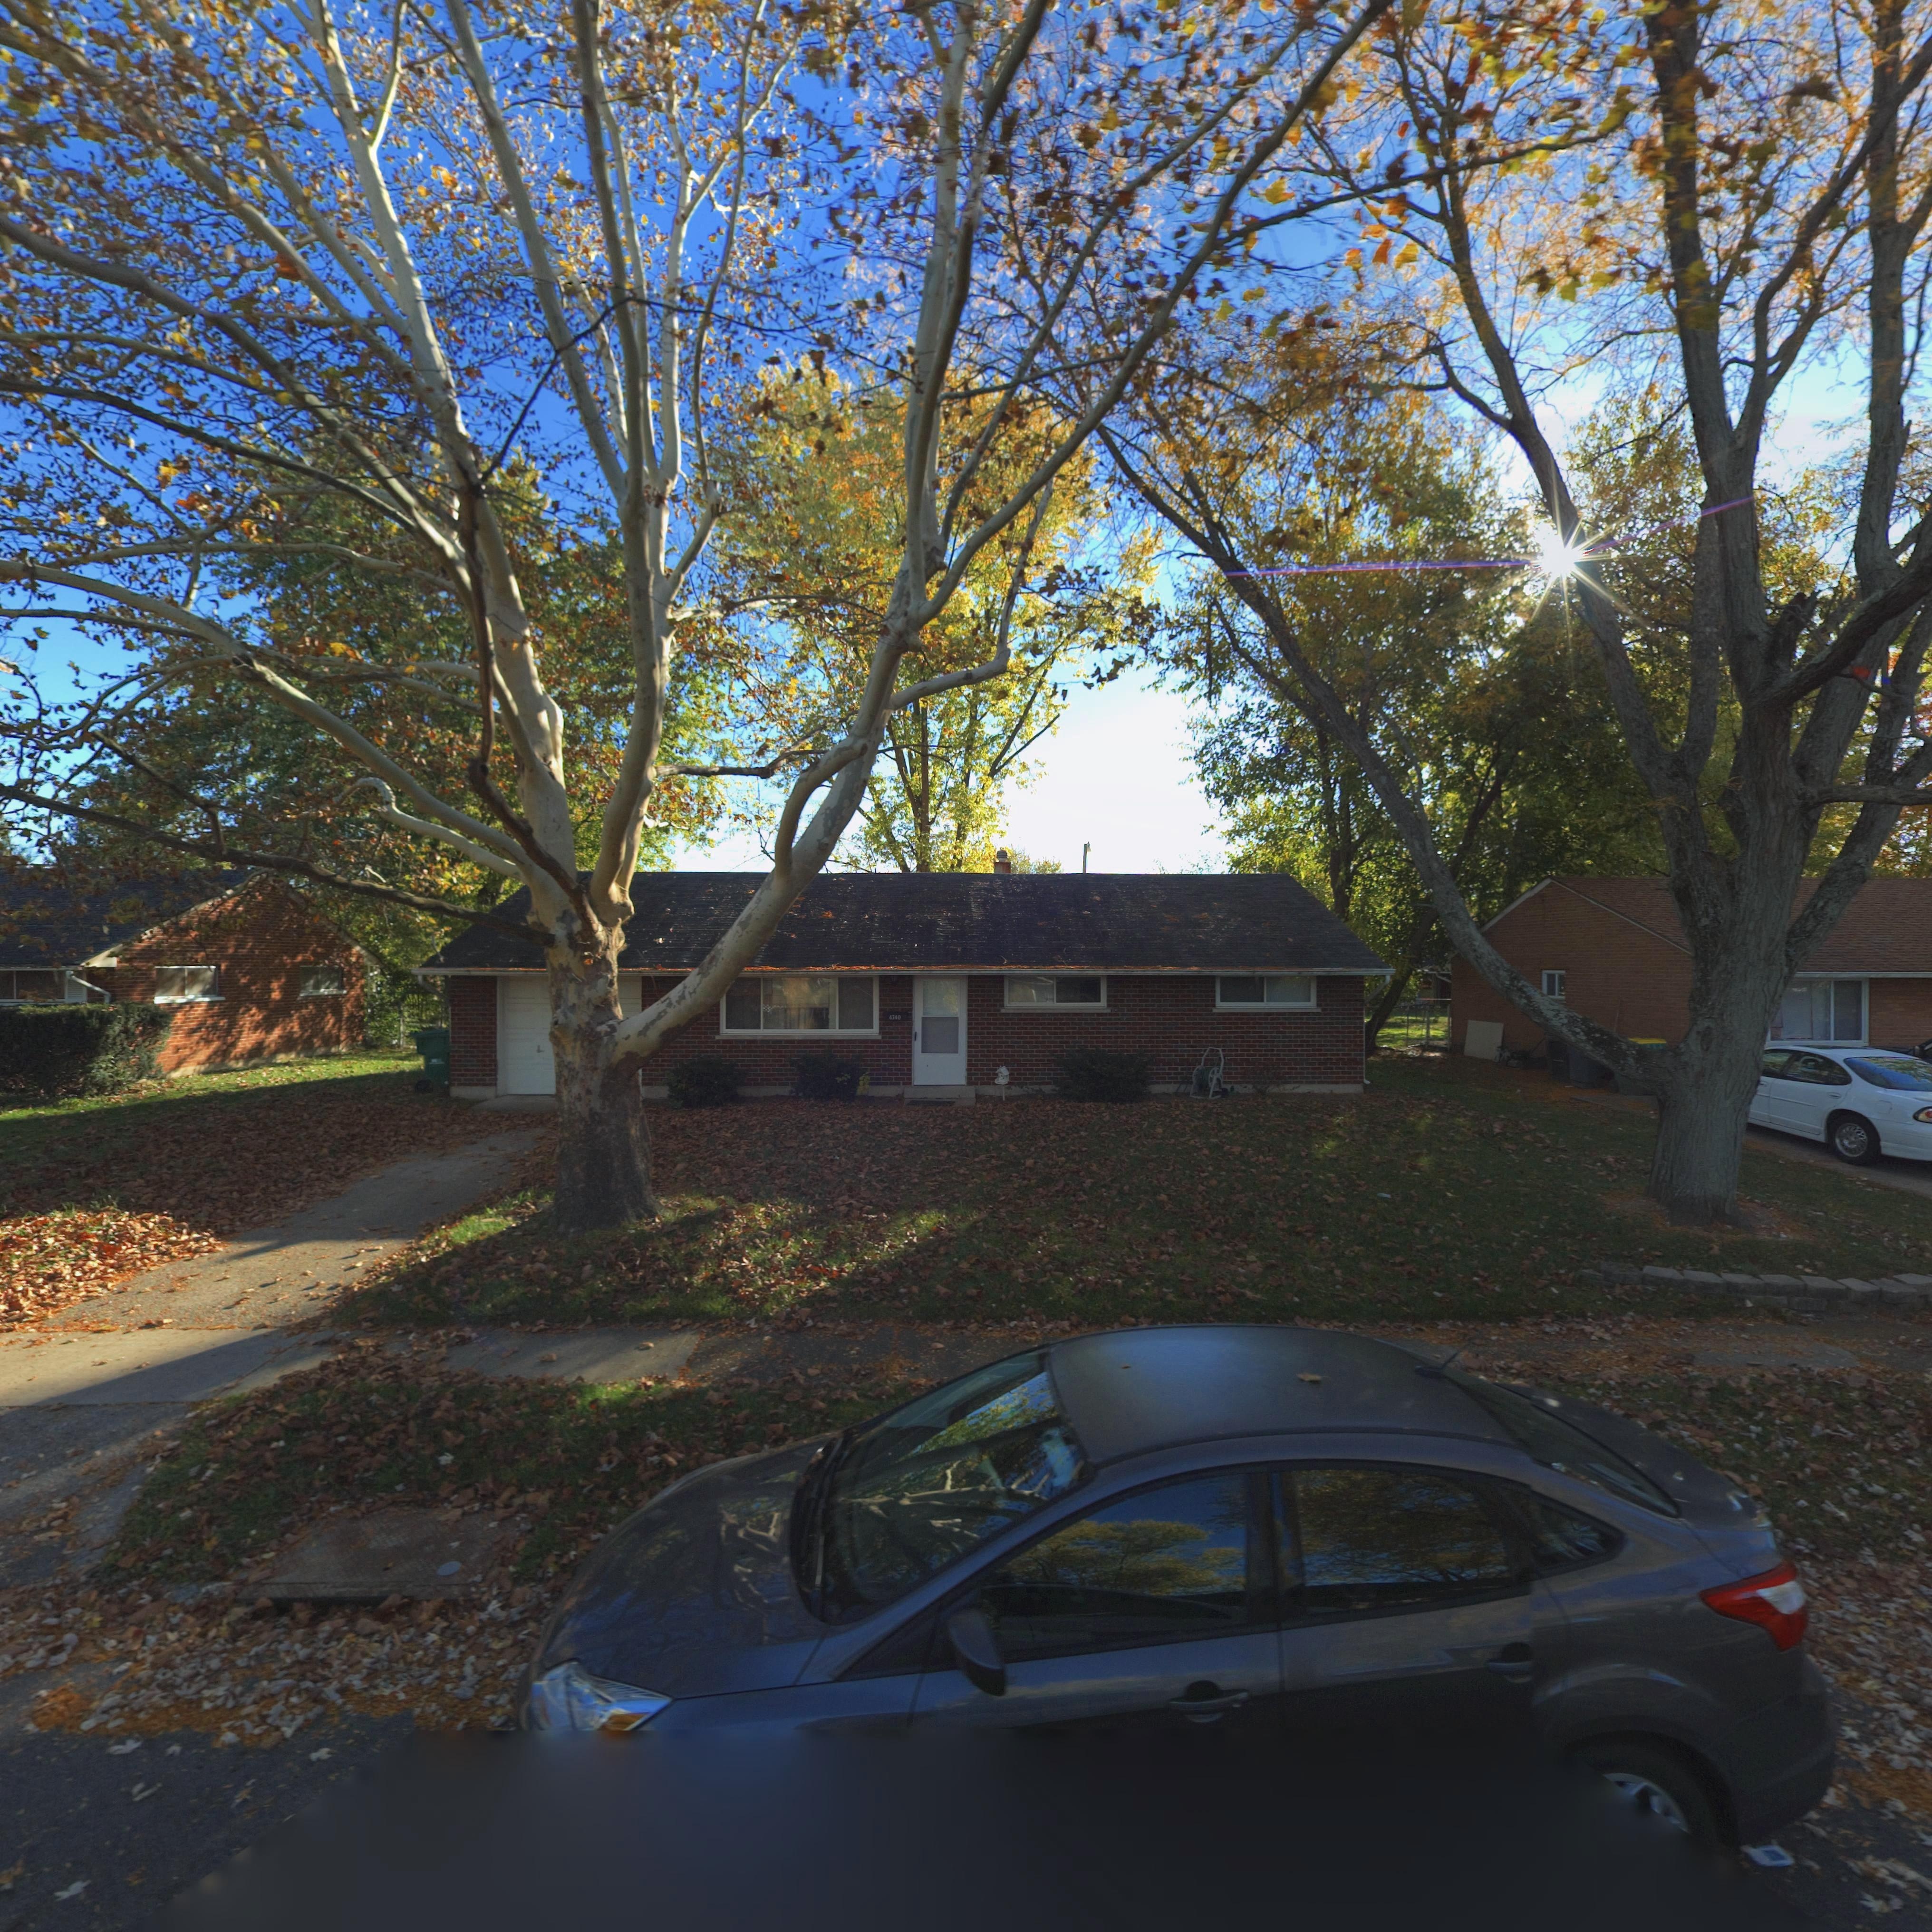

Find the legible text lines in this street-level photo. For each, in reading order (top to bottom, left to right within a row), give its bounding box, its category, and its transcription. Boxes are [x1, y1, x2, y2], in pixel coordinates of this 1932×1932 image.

[888, 1014, 901, 1020] StreetNumber: 4740